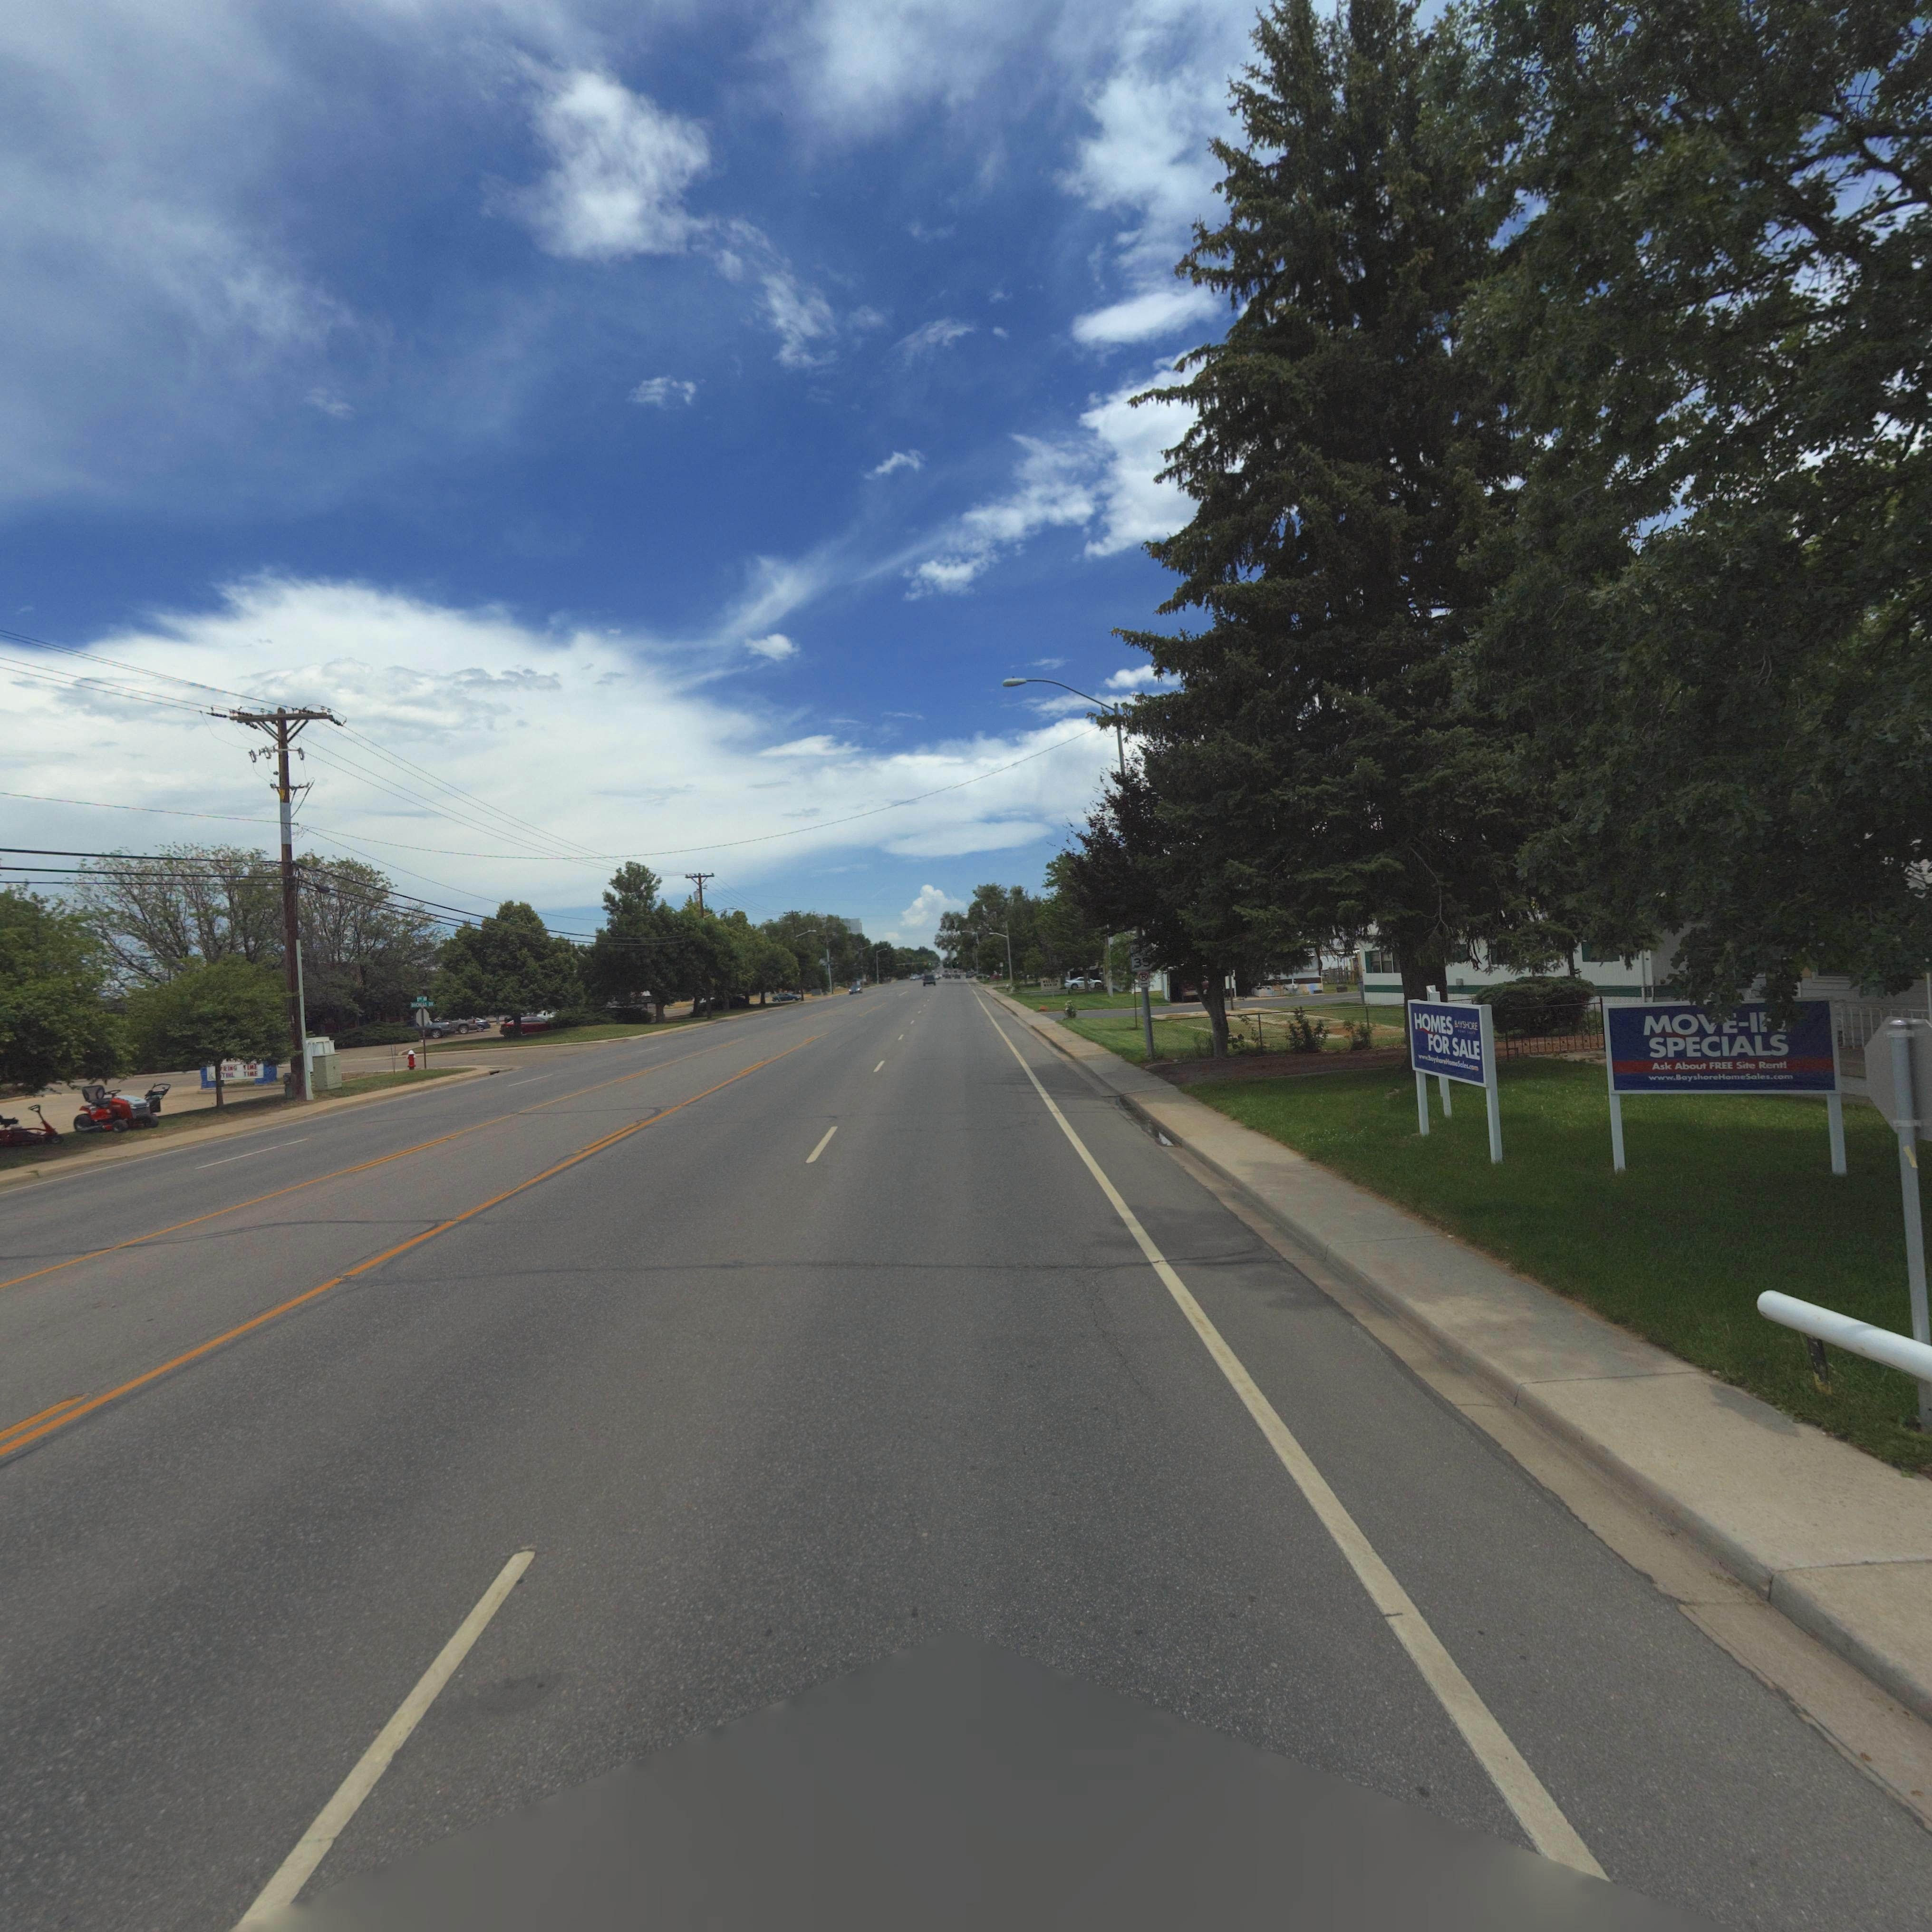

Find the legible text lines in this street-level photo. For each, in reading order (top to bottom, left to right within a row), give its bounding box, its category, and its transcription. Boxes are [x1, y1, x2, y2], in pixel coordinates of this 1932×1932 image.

[416, 996, 427, 1001] StreetName: **** A*
[411, 1002, 434, 1007] StreetName: *ID** **